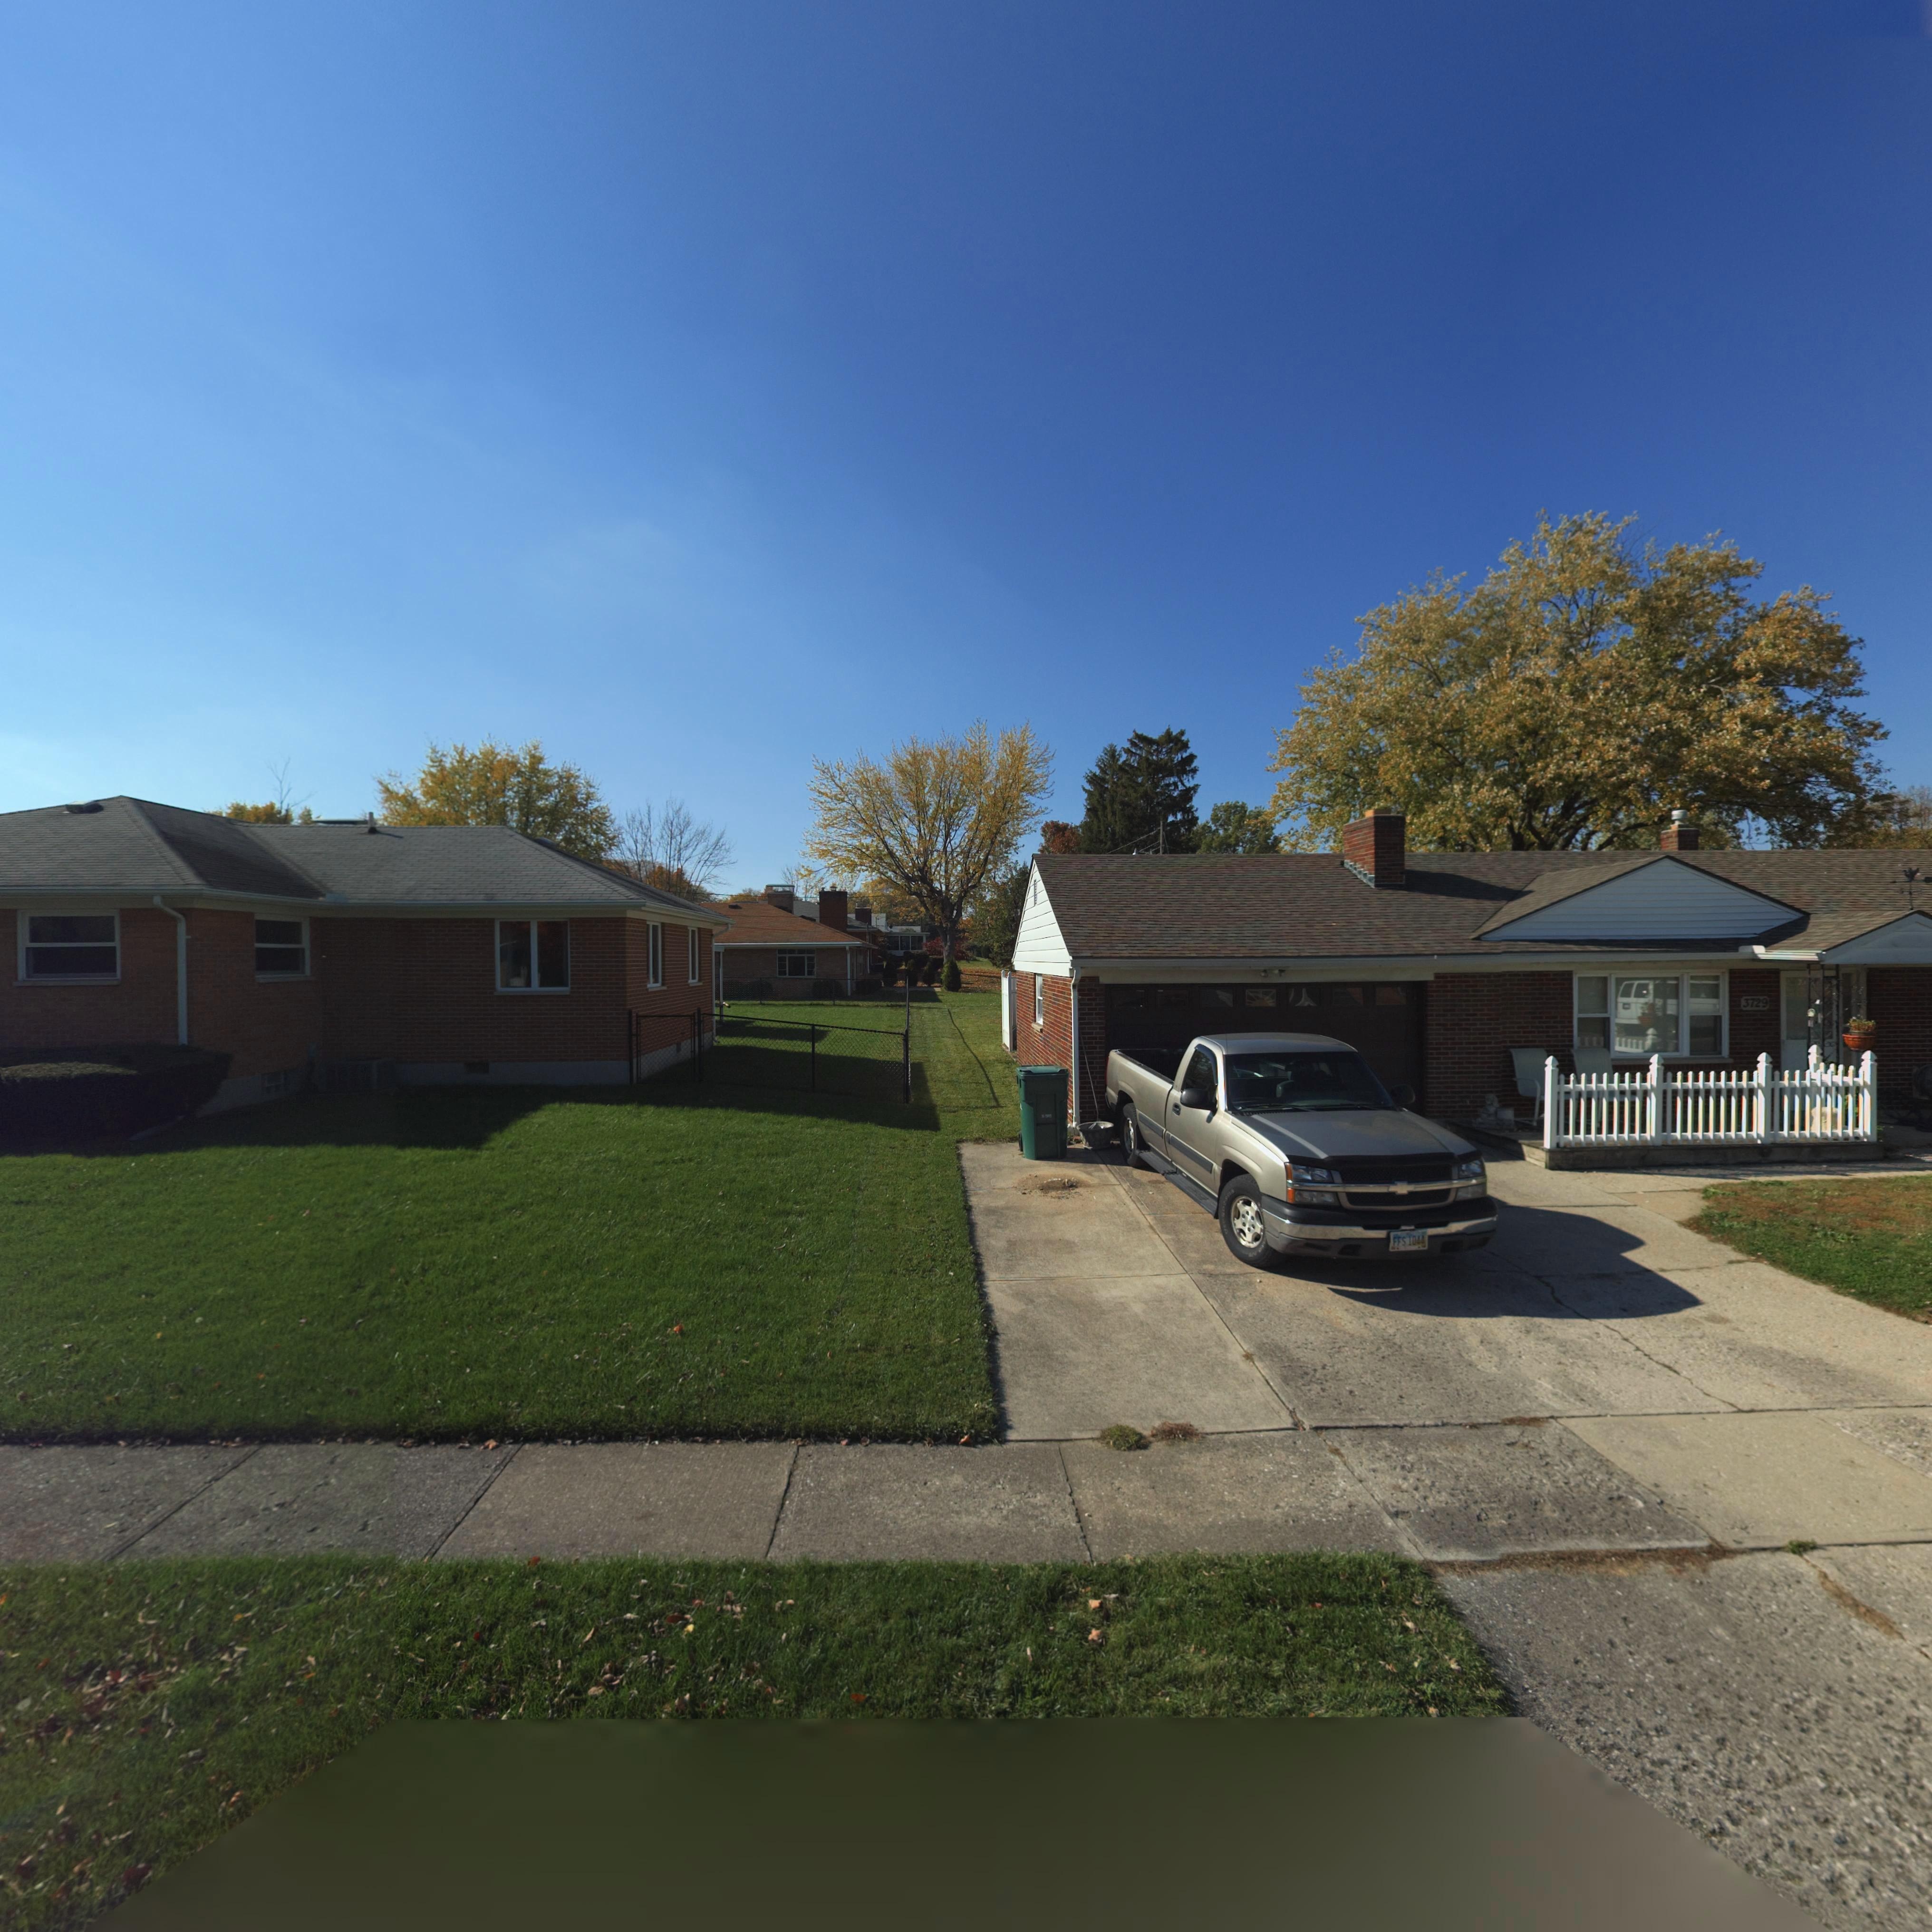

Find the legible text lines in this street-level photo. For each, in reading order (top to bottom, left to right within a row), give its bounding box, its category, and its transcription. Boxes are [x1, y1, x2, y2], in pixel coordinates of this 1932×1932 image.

[1742, 996, 1769, 1010] StreetNumber: 3729